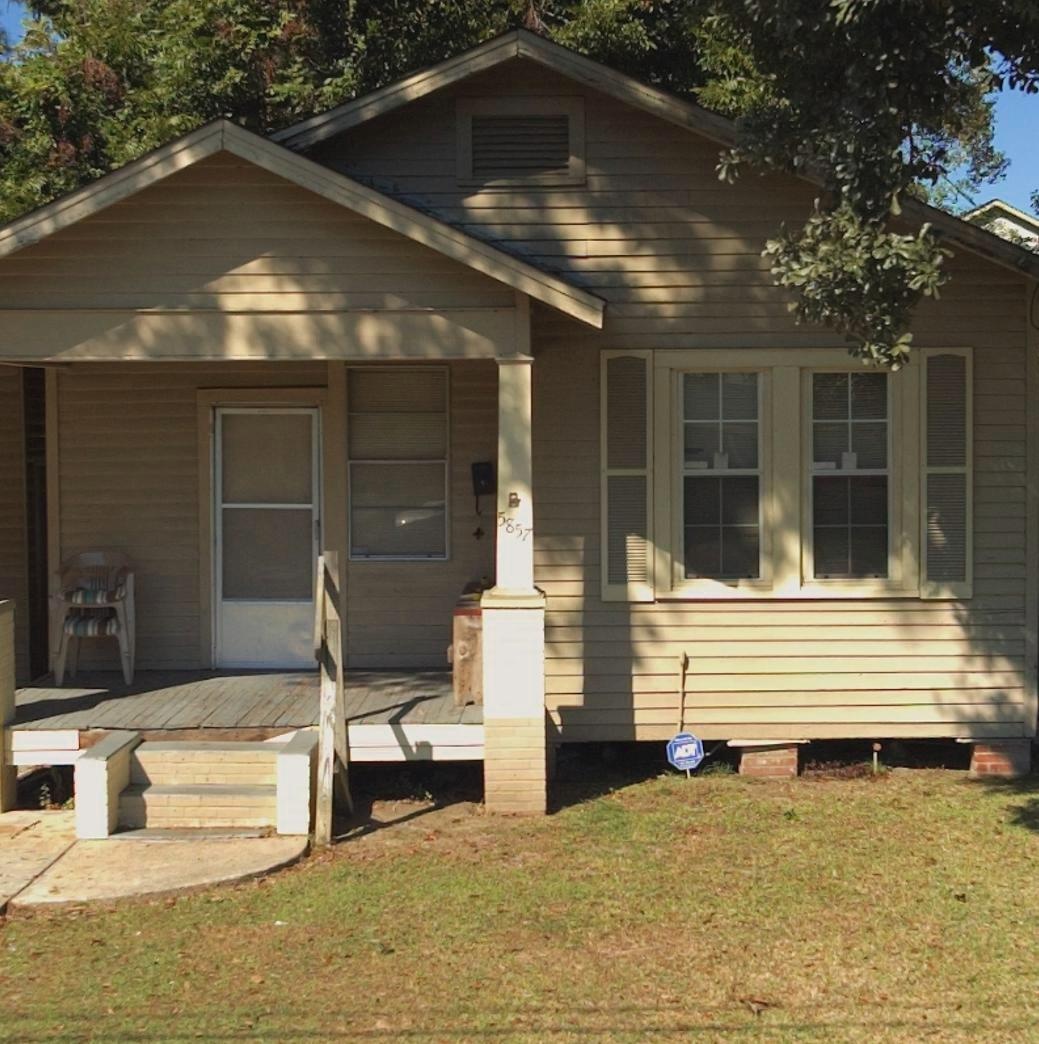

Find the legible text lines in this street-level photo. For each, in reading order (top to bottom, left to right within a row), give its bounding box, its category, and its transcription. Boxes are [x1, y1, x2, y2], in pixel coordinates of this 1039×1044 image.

[496, 510, 533, 542] StreetNumber: 5857
[674, 742, 698, 759] None: ADT